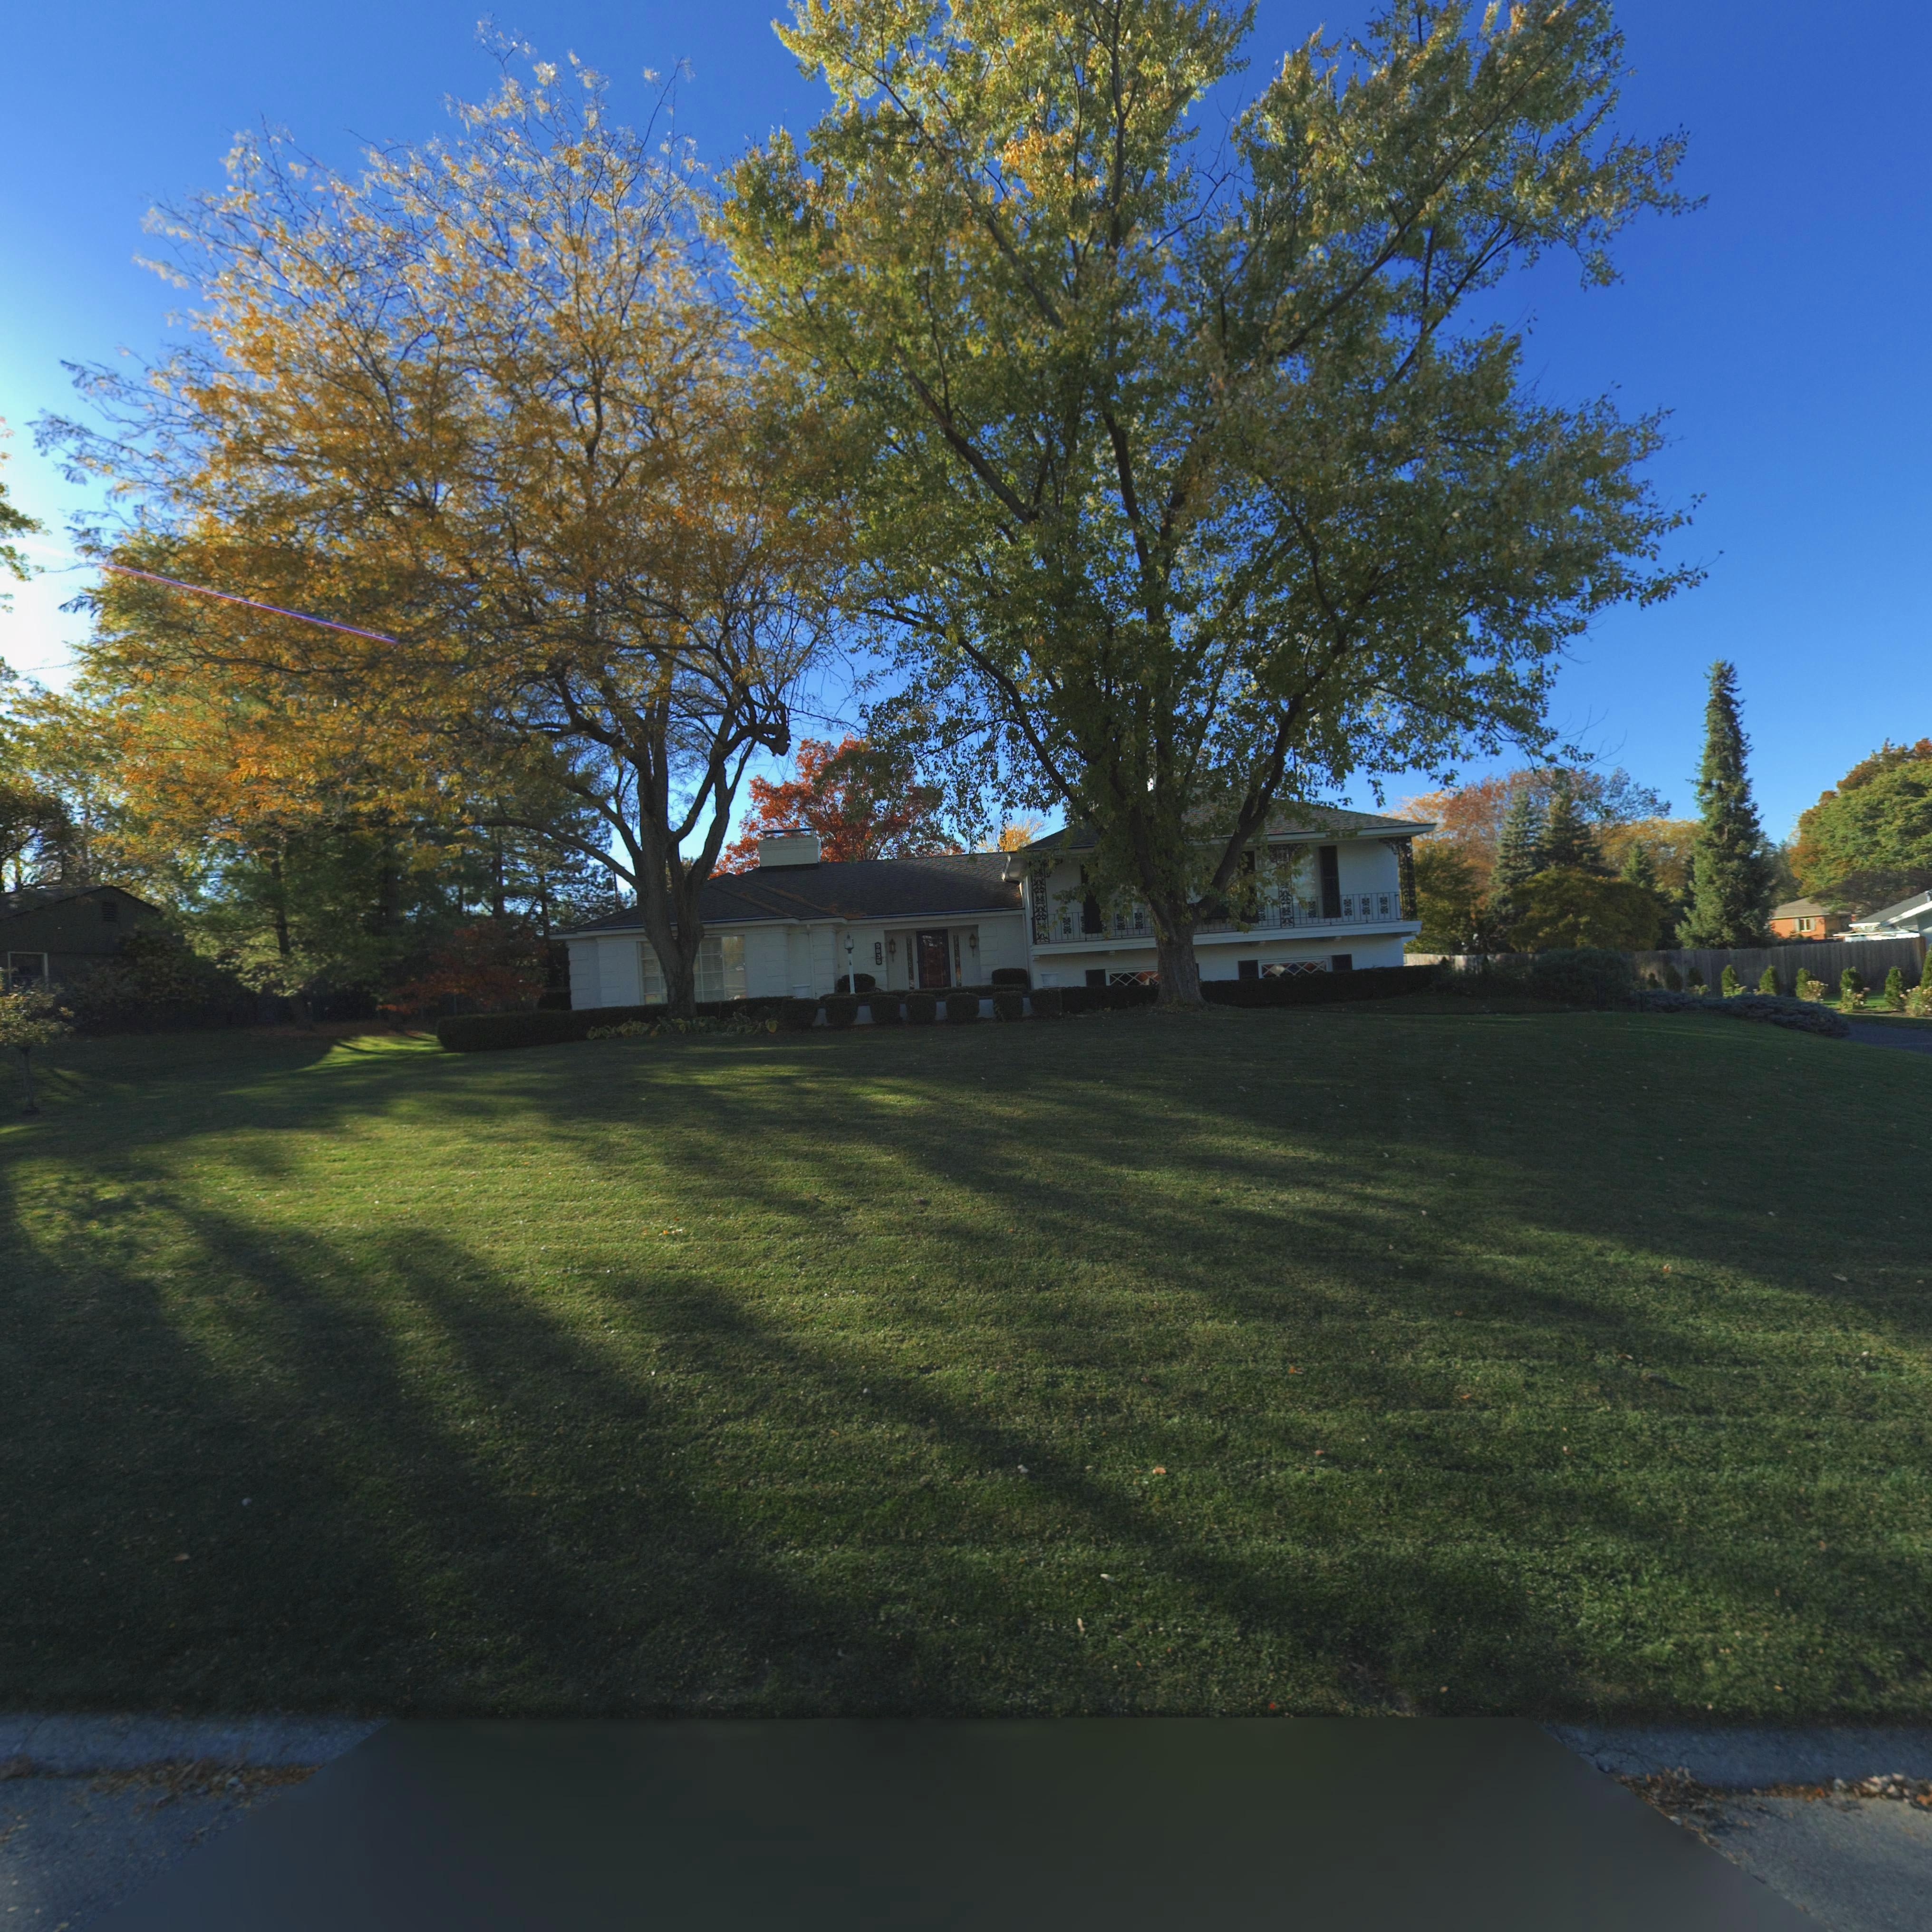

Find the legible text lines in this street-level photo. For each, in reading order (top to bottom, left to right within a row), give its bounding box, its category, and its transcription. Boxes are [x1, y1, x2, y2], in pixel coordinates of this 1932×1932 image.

[875, 943, 881, 964] StreetNumber: 5835